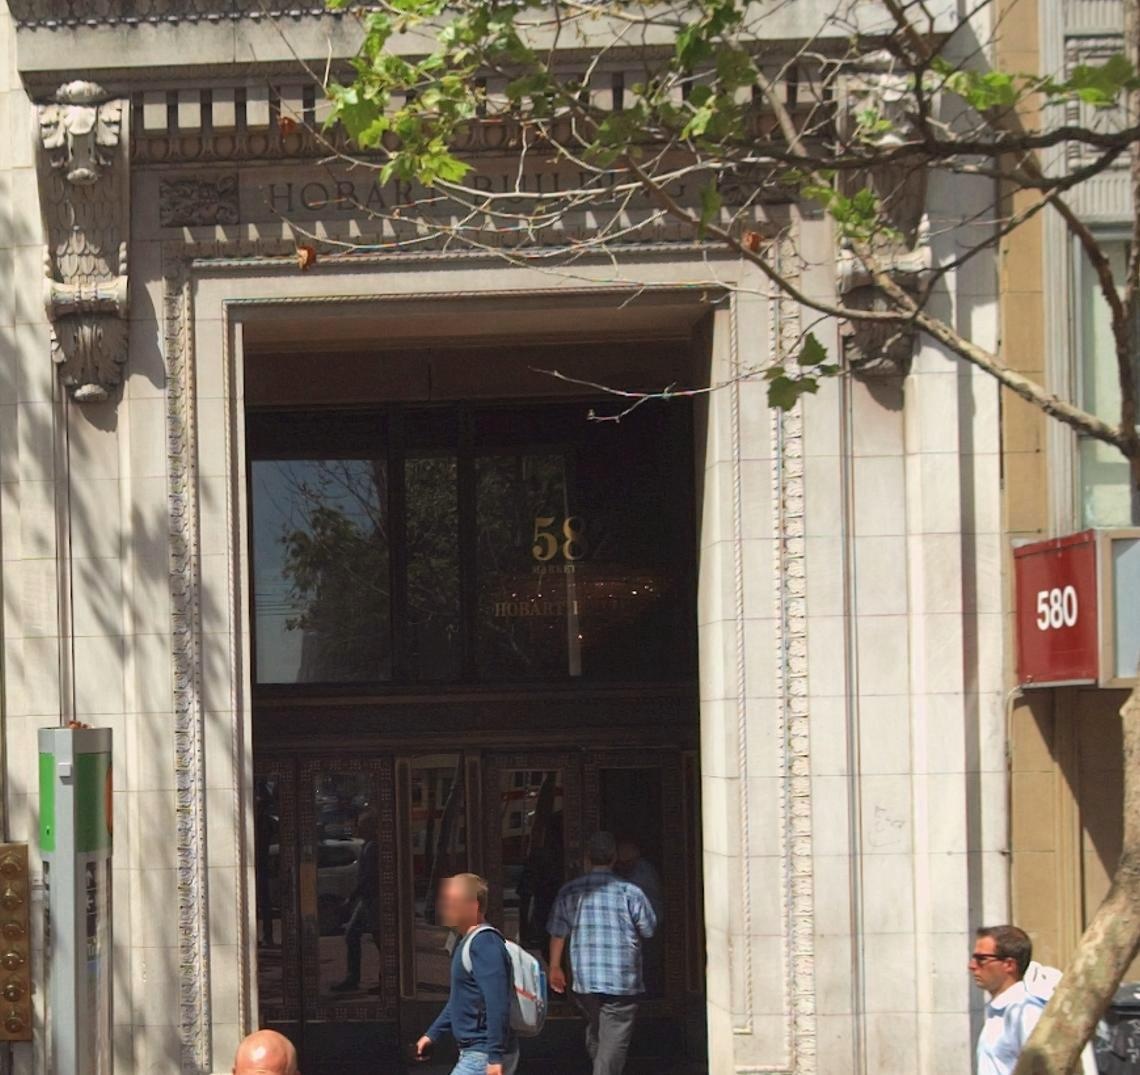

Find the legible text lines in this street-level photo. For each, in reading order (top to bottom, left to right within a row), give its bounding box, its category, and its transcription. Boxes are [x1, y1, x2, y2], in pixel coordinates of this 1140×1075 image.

[262, 173, 422, 219] None: HOBAR
[527, 513, 622, 564] StreetNumber: 582
[494, 598, 566, 619] None: HOBART
[1033, 580, 1080, 634] StreetNumber: 580